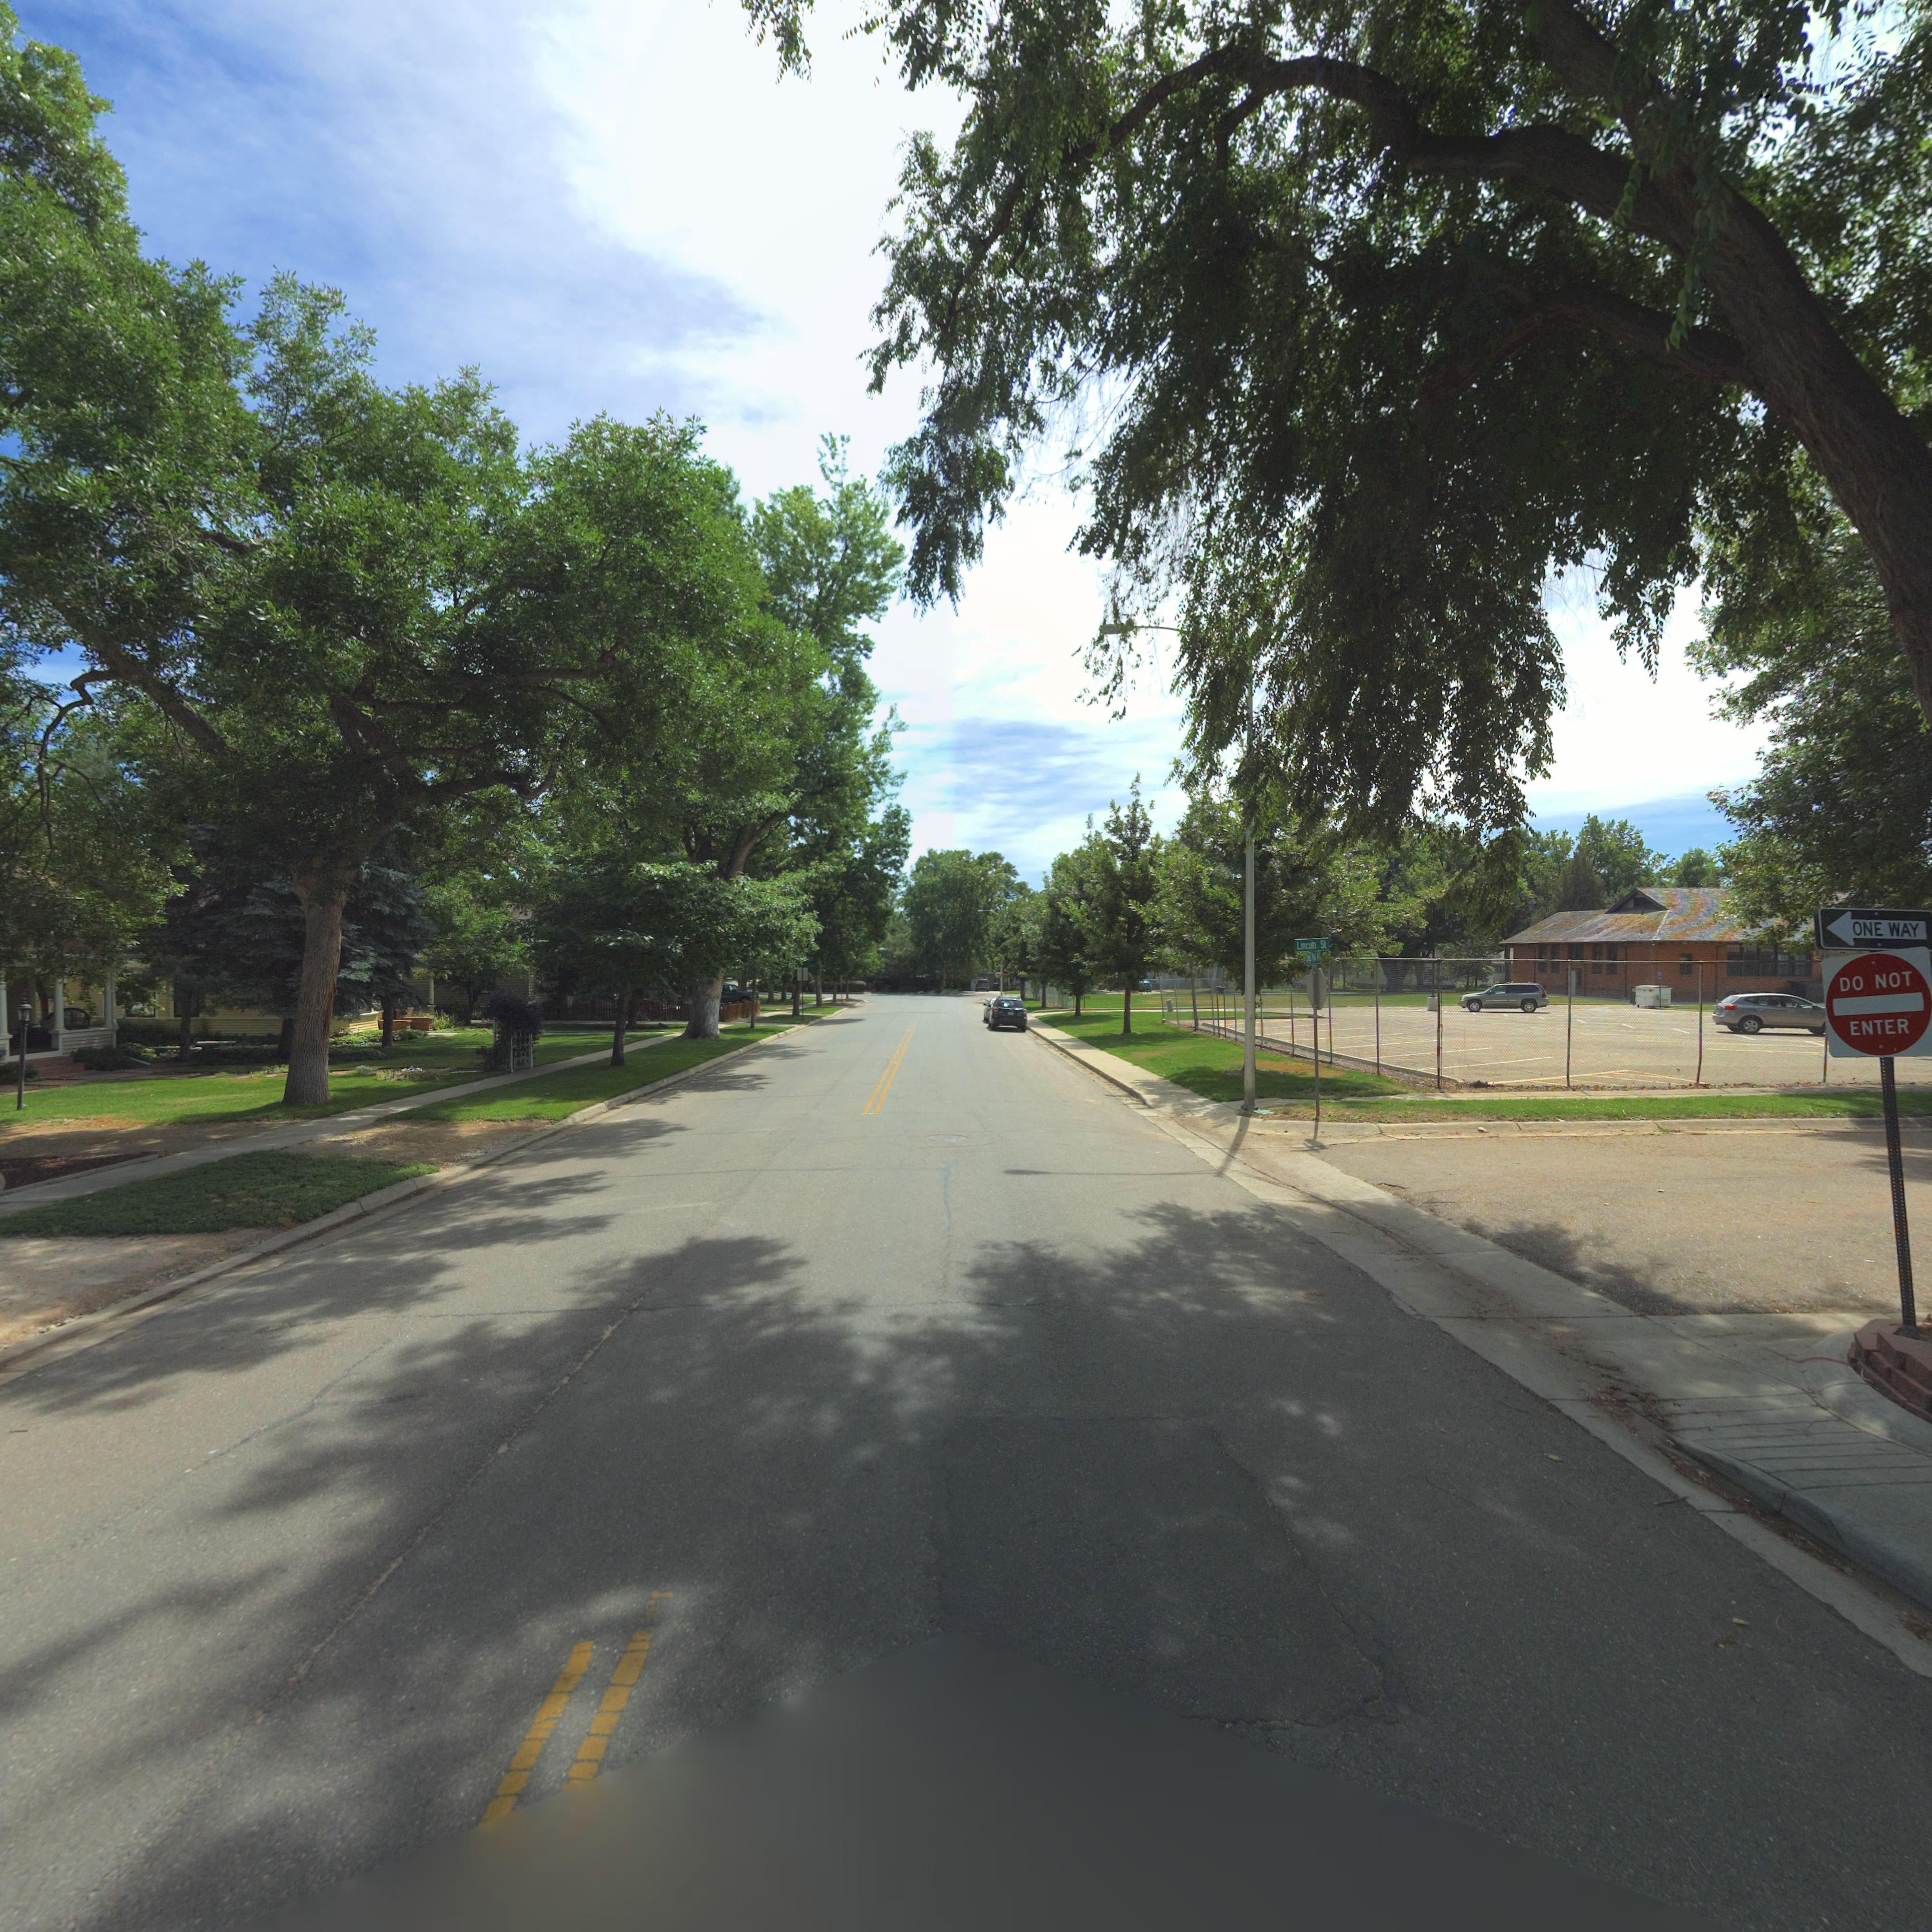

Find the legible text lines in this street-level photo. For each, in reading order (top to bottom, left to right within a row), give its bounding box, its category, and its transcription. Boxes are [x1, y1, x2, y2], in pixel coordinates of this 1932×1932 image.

[1296, 939, 1327, 950] StreetName: Lincoln St